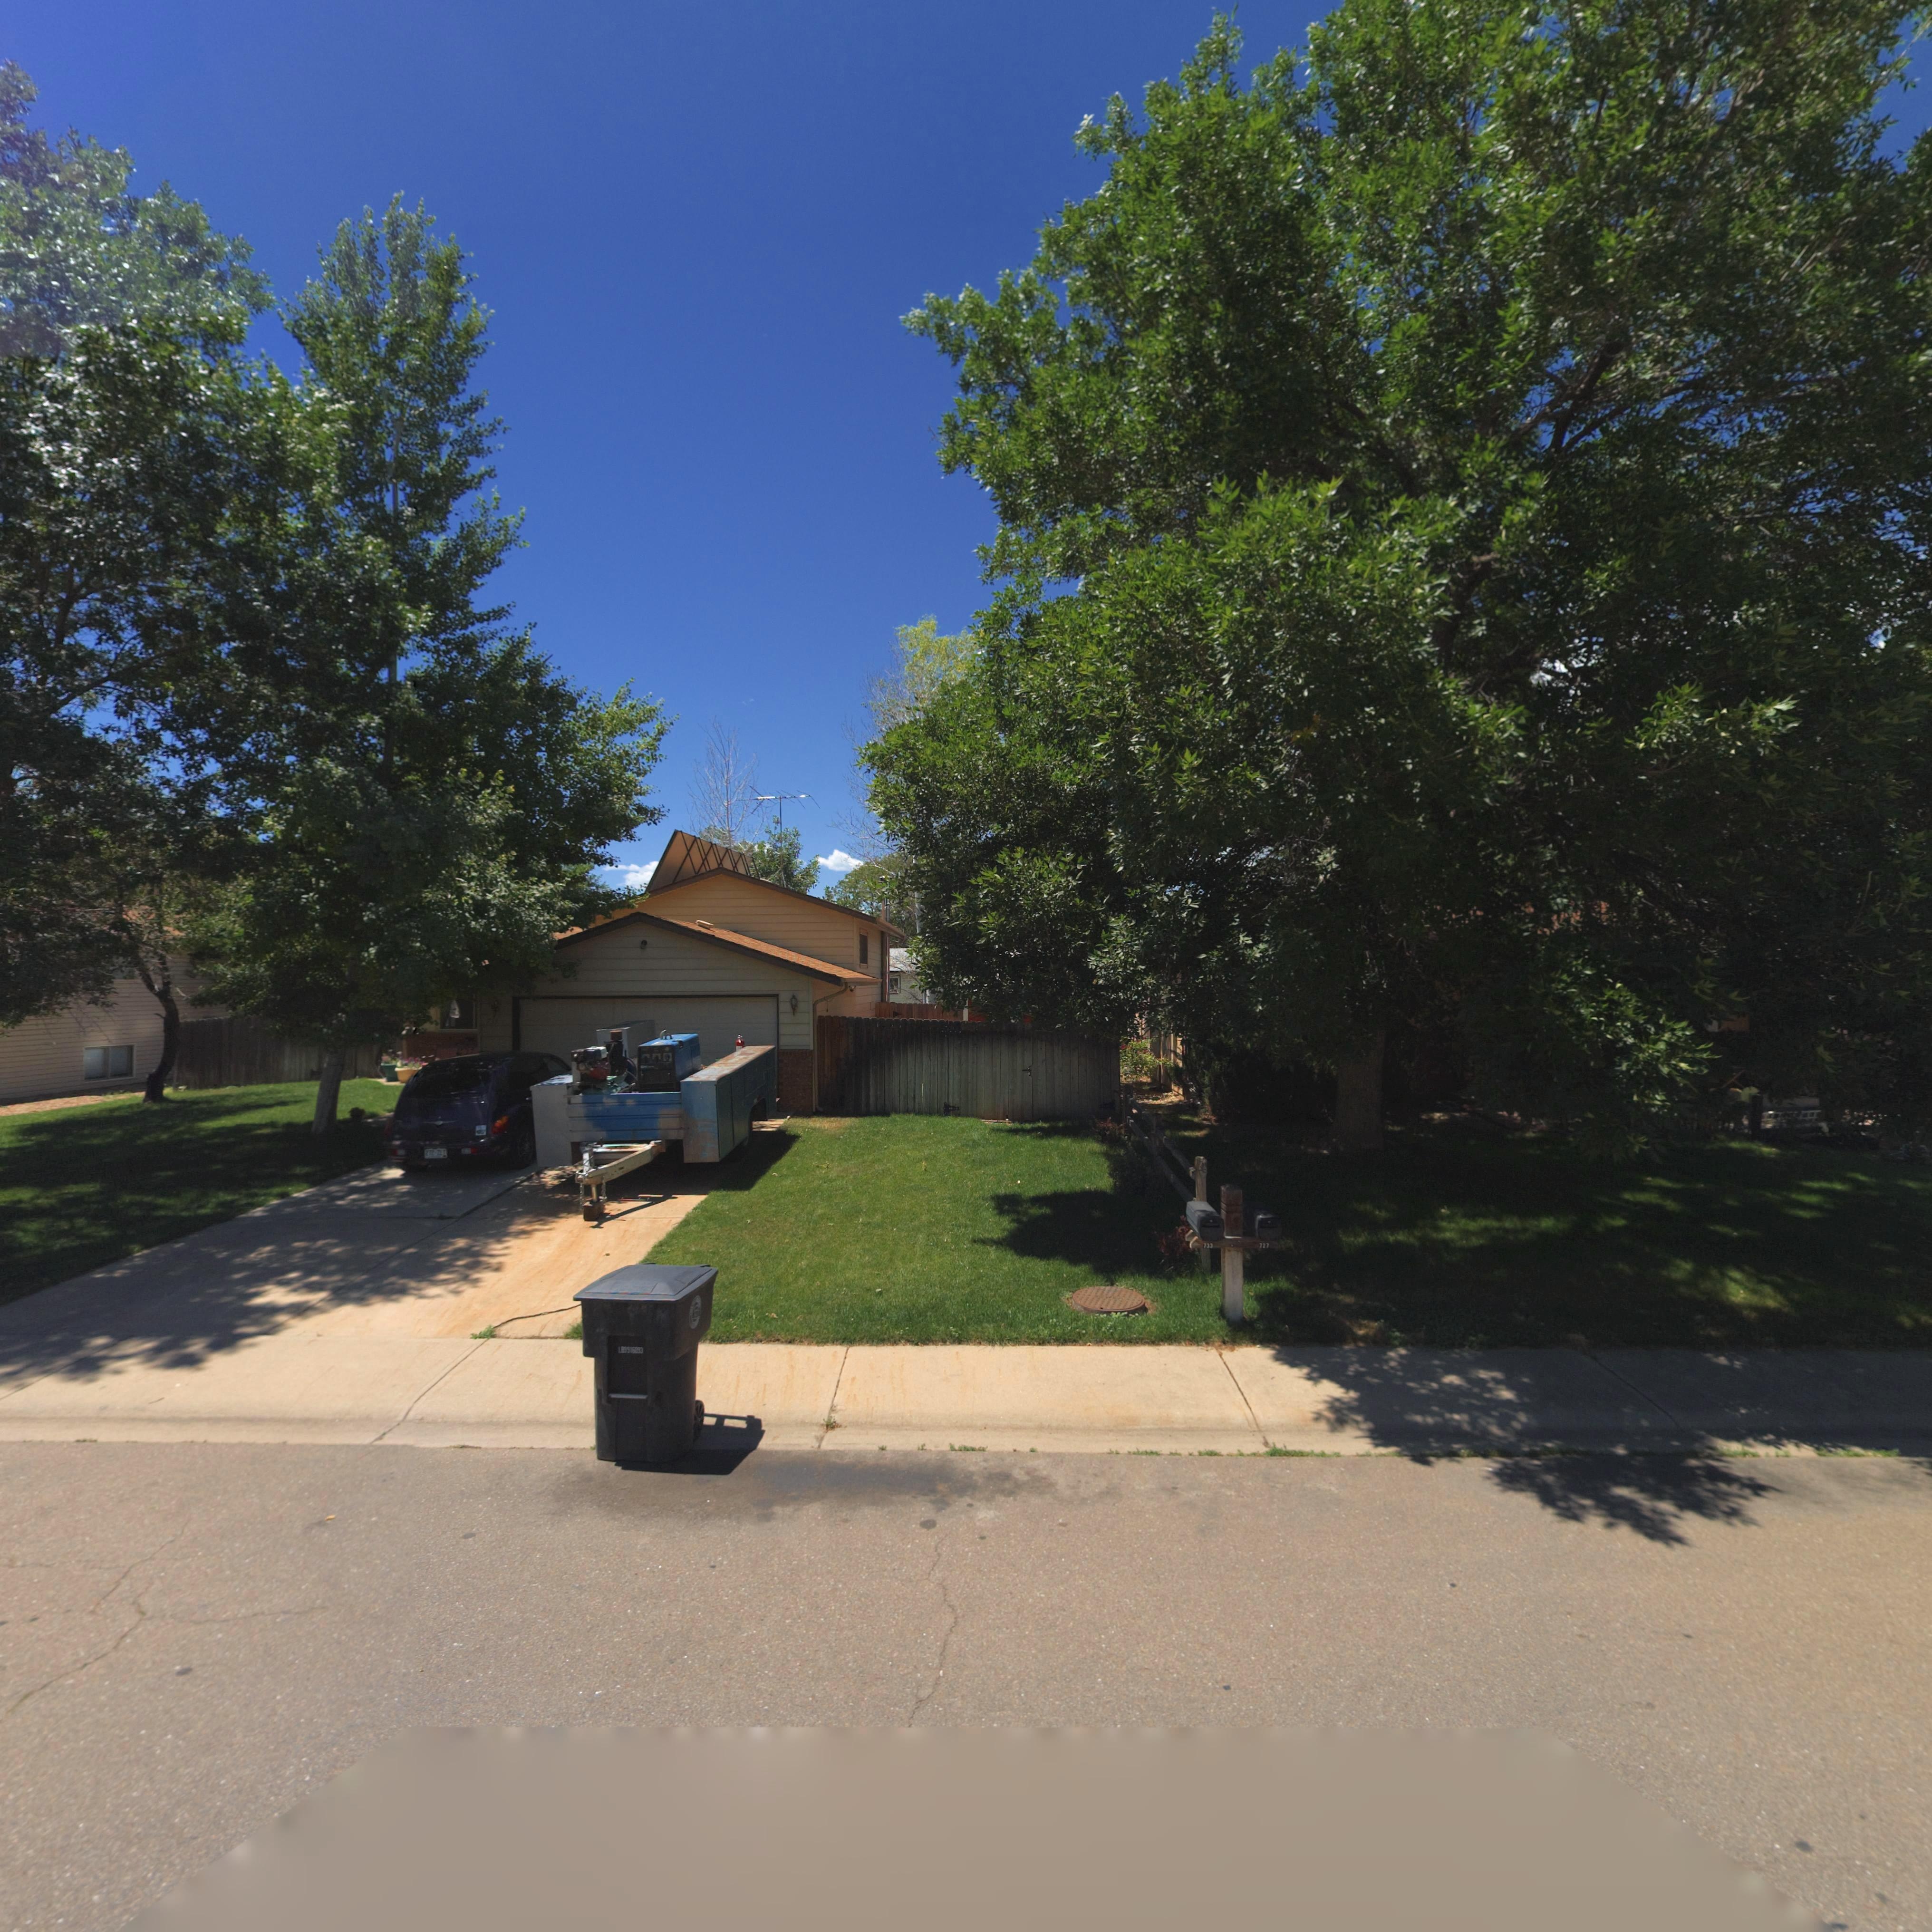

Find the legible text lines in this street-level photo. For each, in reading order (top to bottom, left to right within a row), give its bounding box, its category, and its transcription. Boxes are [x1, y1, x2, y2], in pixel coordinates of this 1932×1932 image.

[1203, 1243, 1214, 1249] StreetNumber: 733
[1259, 1243, 1269, 1248] StreetNumber: 733